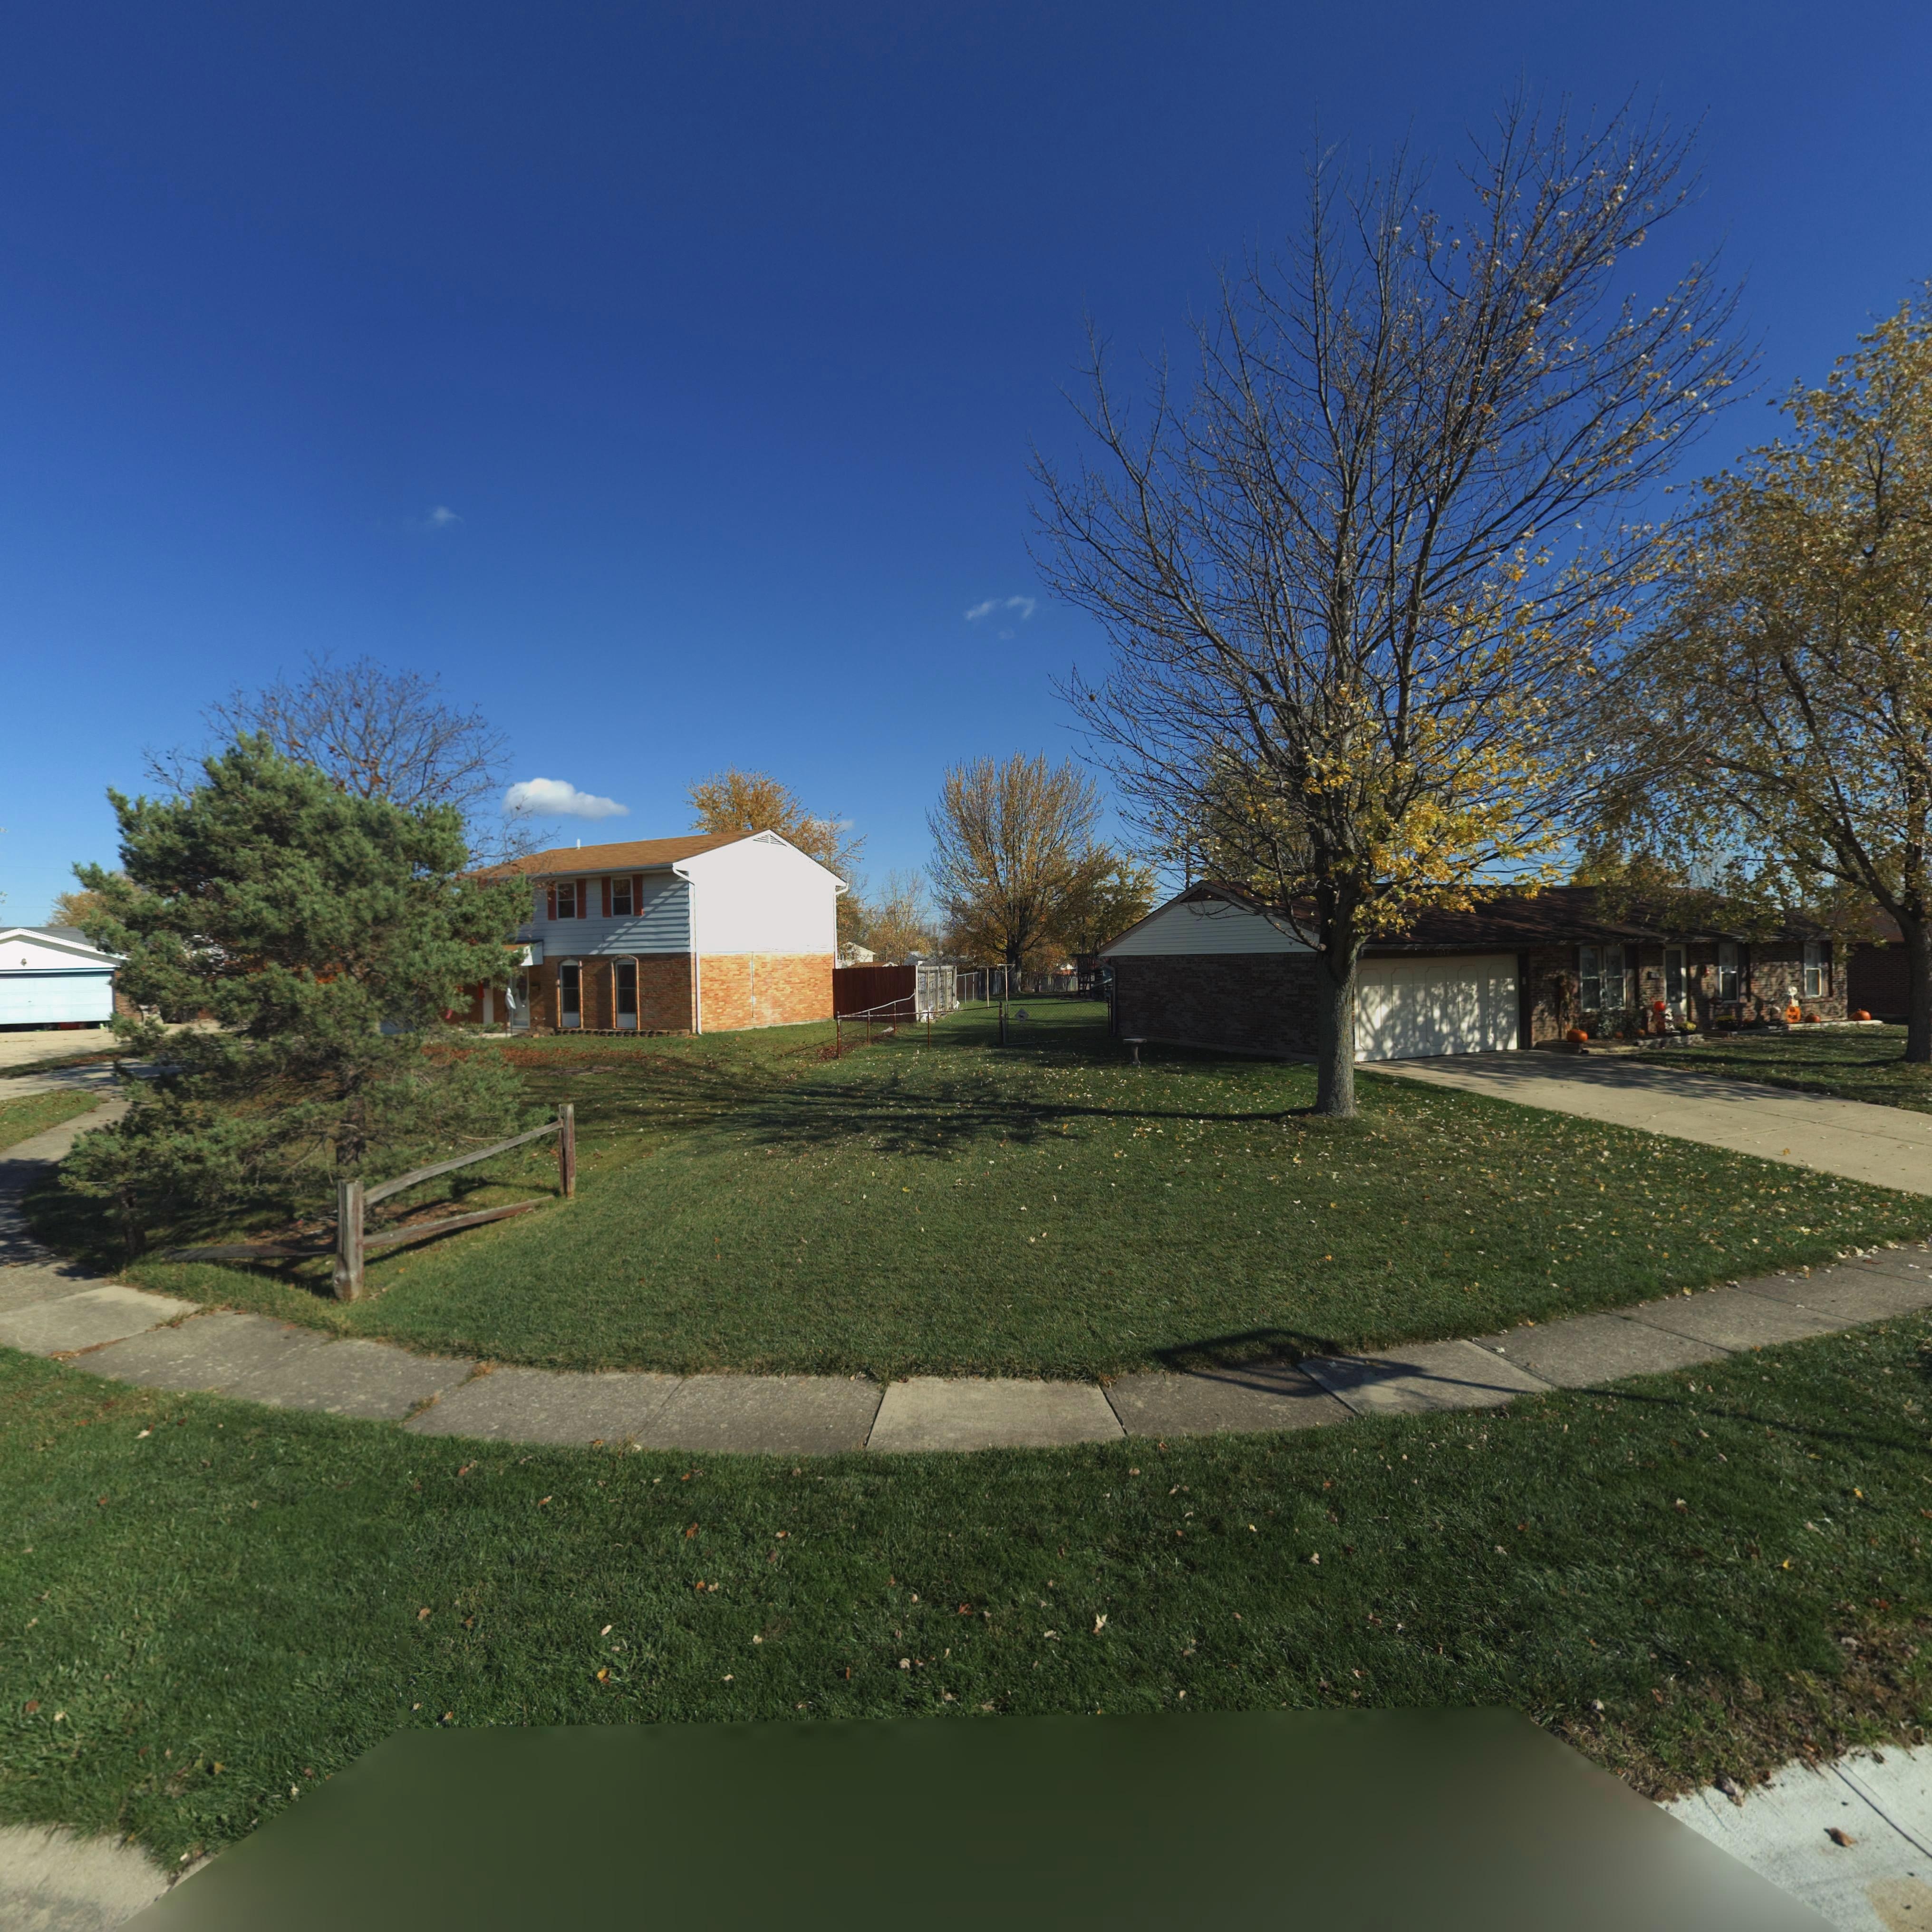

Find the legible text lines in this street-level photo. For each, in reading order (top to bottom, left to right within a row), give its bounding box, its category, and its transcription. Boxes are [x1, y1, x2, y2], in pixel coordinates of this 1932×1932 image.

[1435, 949, 1450, 956] StreetNumber: 69*9